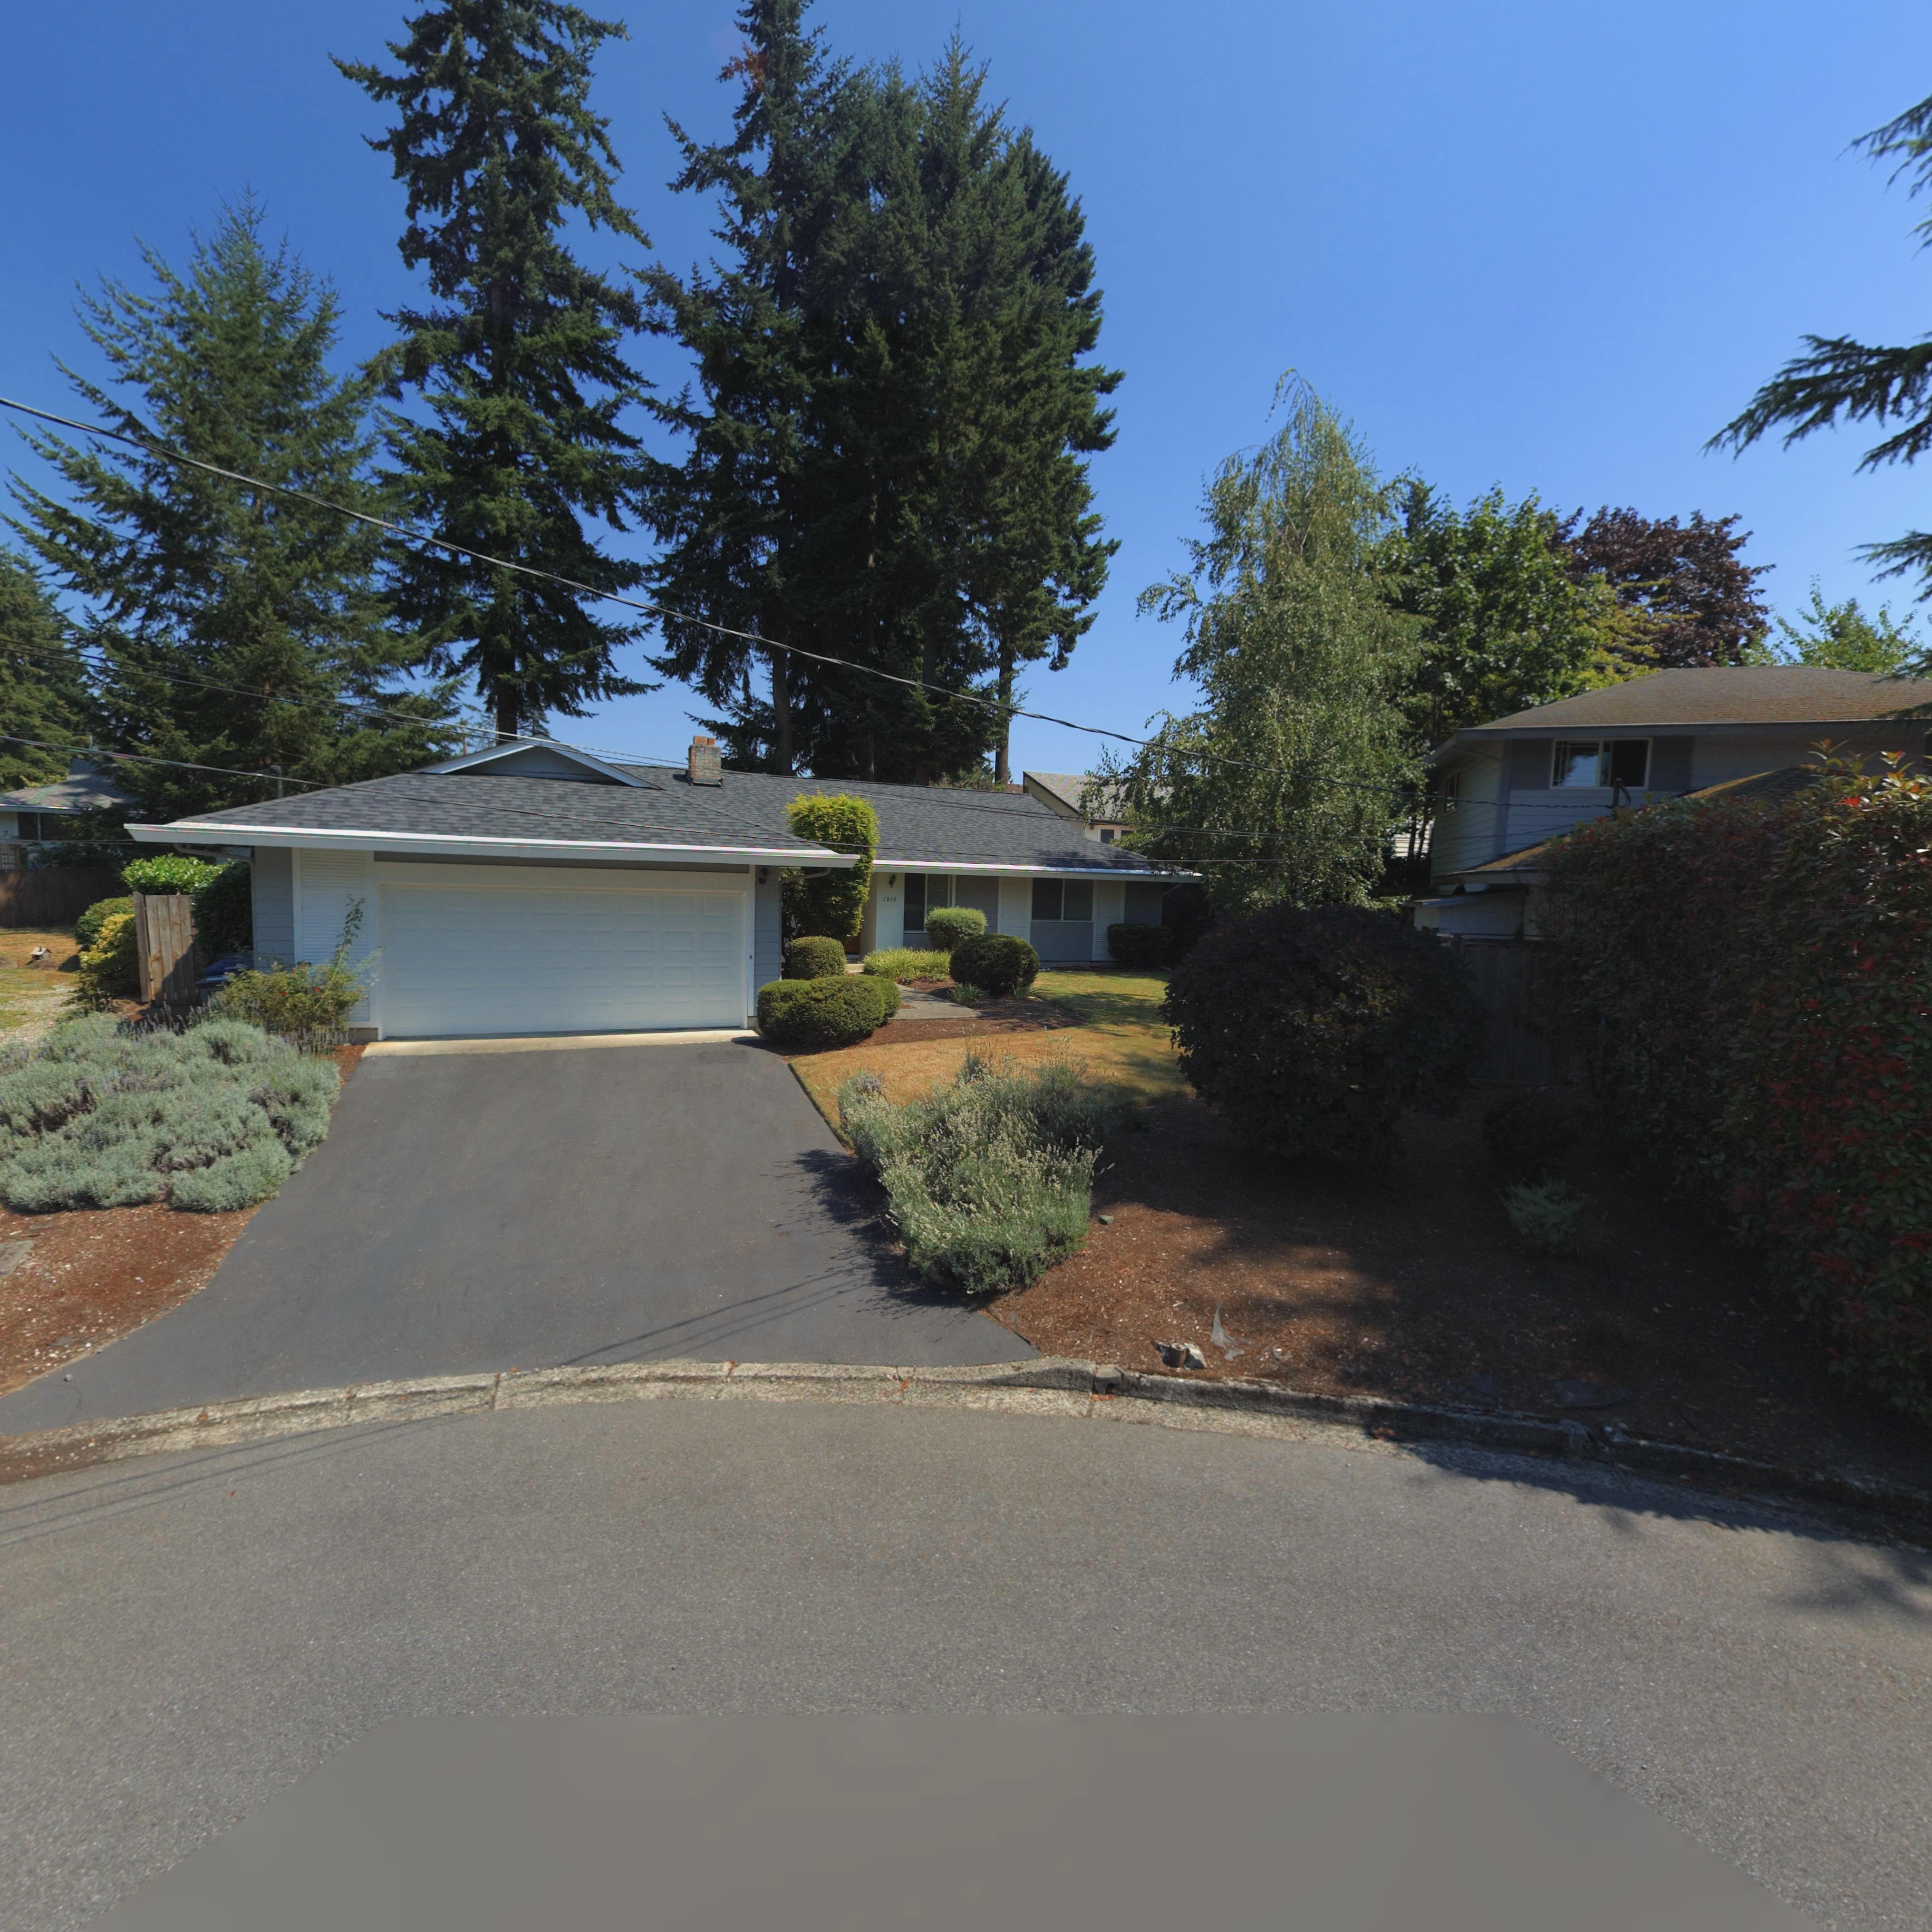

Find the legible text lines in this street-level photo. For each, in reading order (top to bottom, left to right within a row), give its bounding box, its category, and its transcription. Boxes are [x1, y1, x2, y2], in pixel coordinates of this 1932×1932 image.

[883, 896, 897, 902] StreetName: 1810